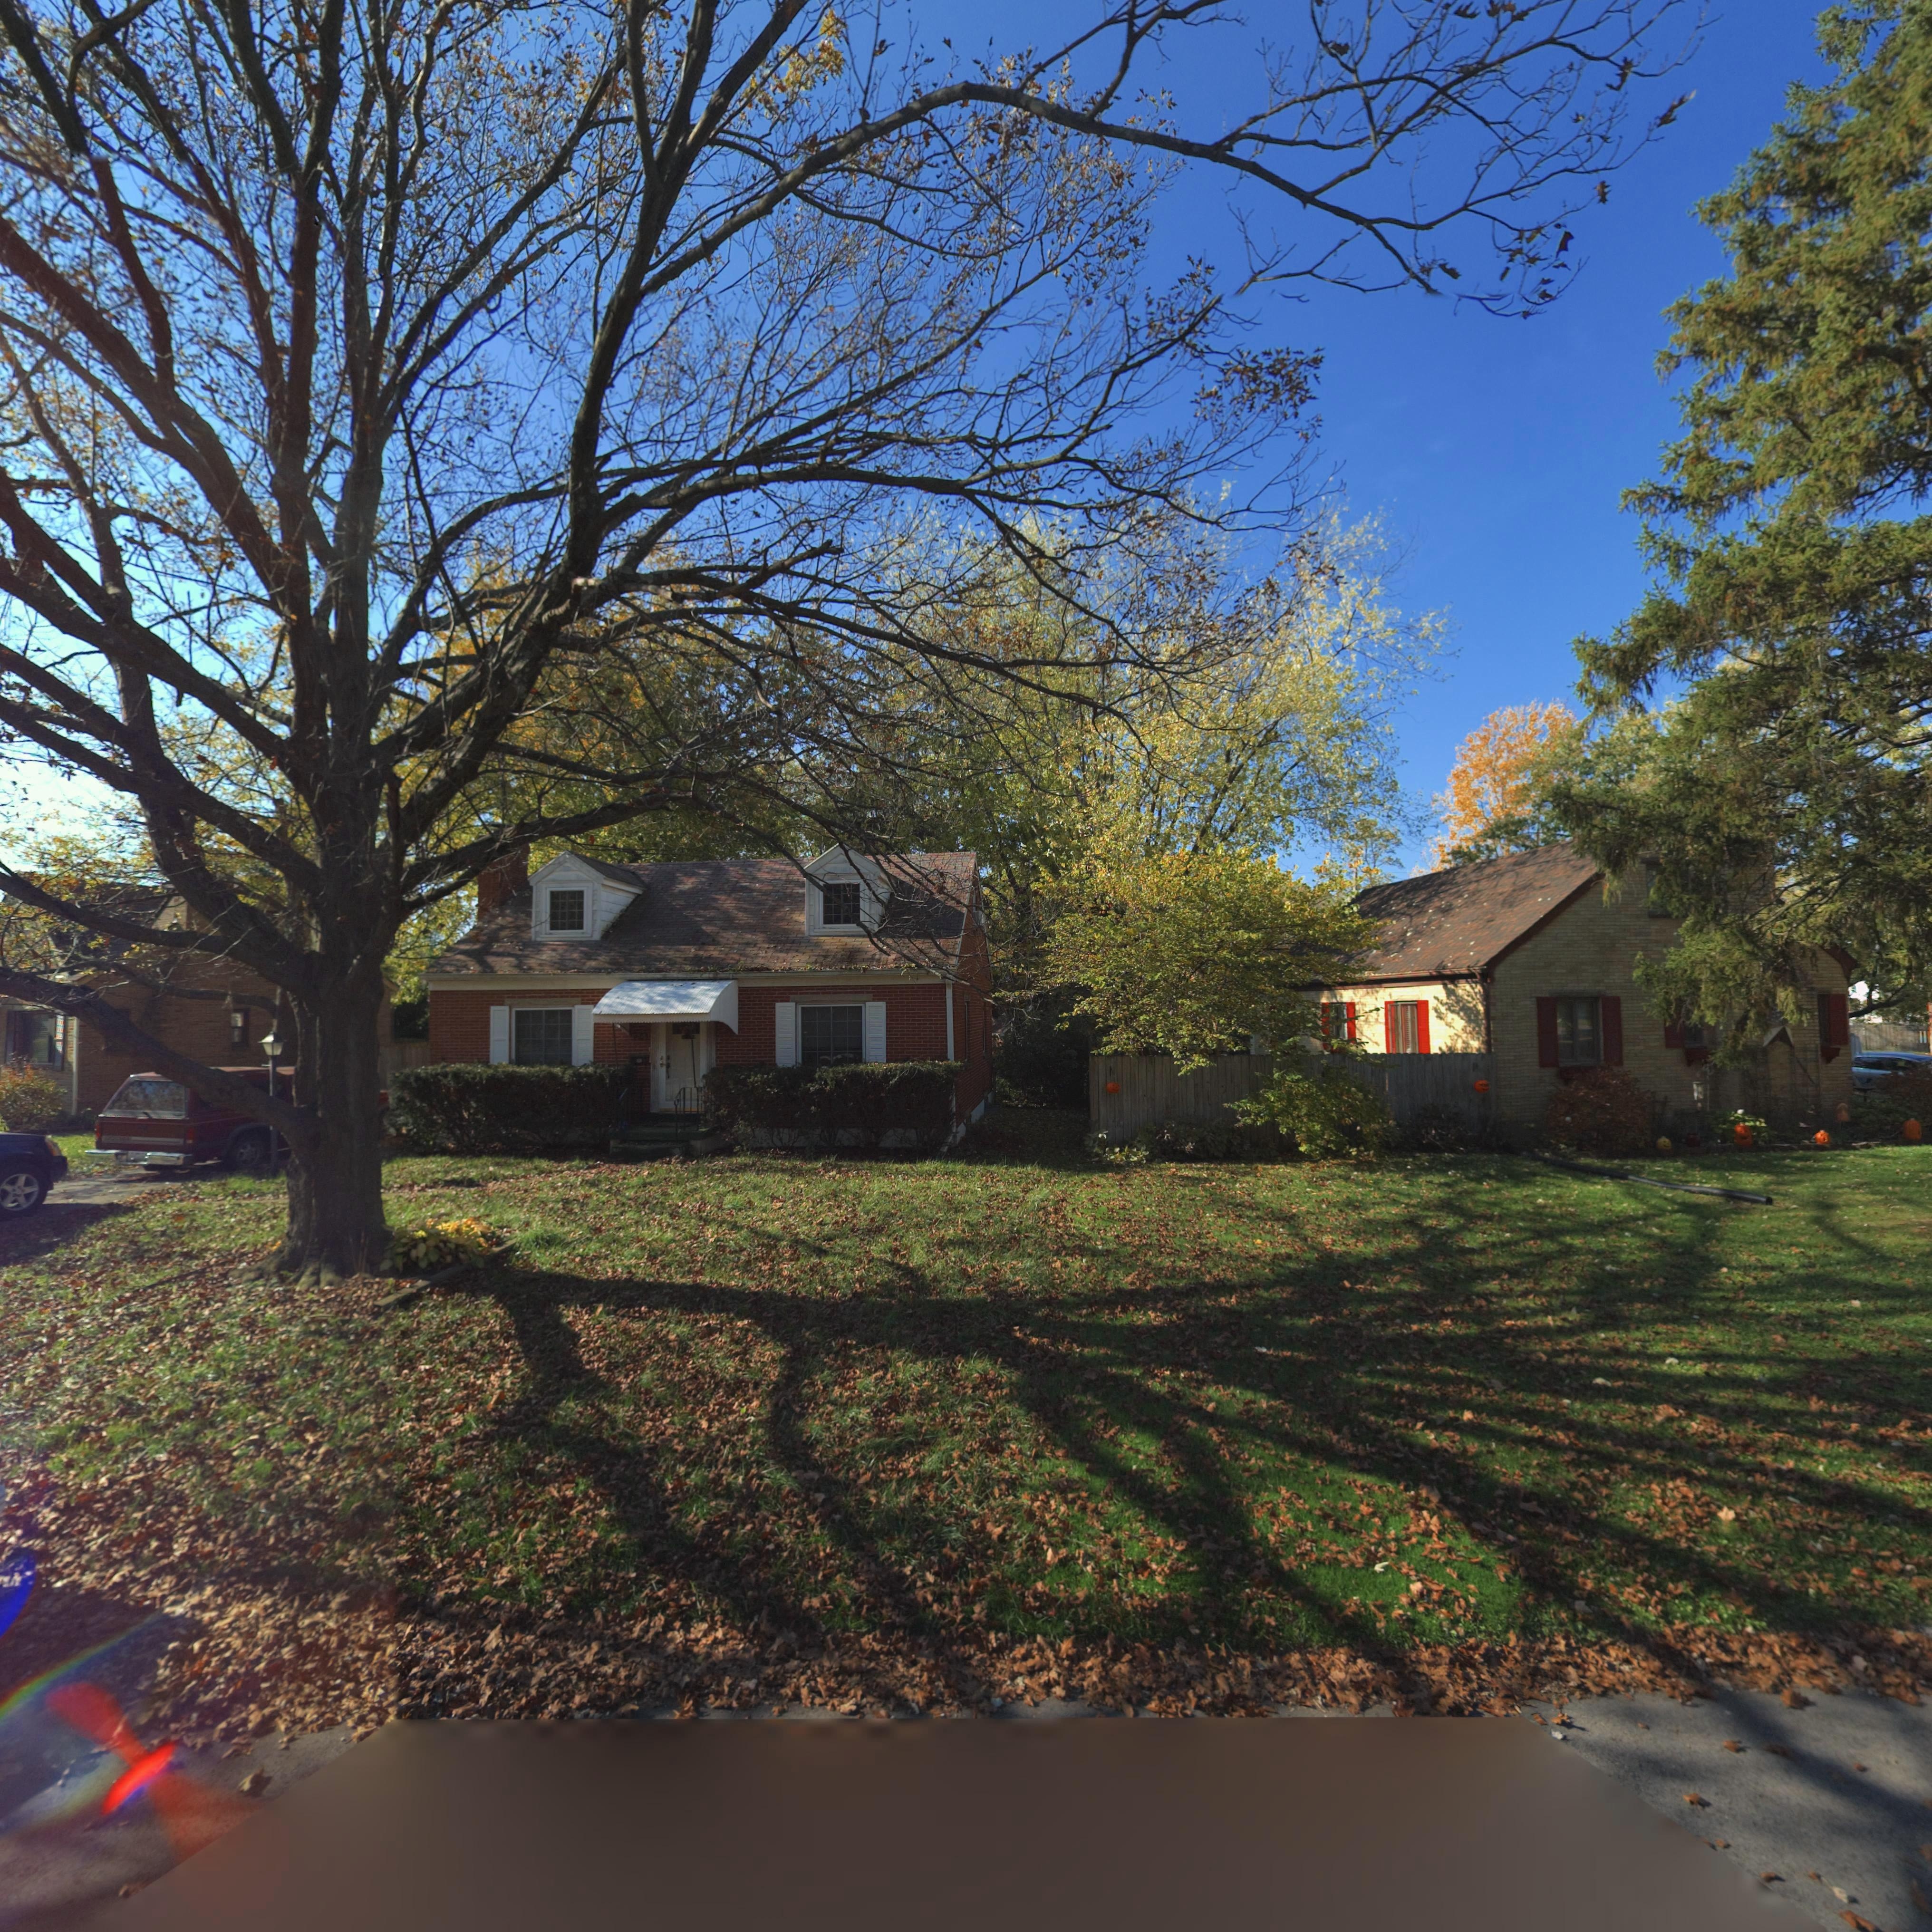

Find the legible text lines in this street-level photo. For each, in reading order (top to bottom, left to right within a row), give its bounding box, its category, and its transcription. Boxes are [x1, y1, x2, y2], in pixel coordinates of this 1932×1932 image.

[632, 1032, 648, 1041] StreetNumber: 721